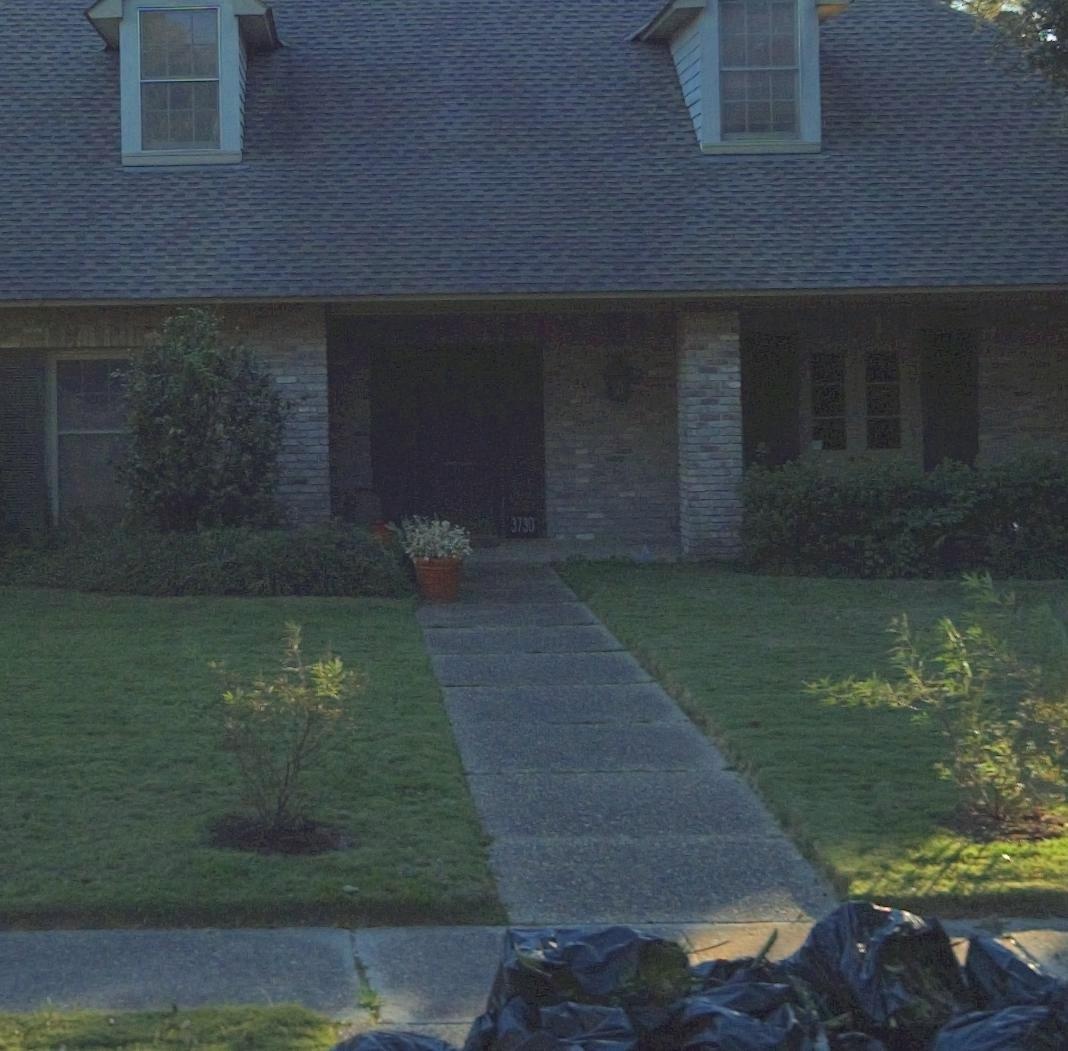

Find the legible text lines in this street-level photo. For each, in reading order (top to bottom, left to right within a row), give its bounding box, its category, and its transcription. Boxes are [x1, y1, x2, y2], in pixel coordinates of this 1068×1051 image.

[508, 514, 537, 535] StreetNumber: 3730